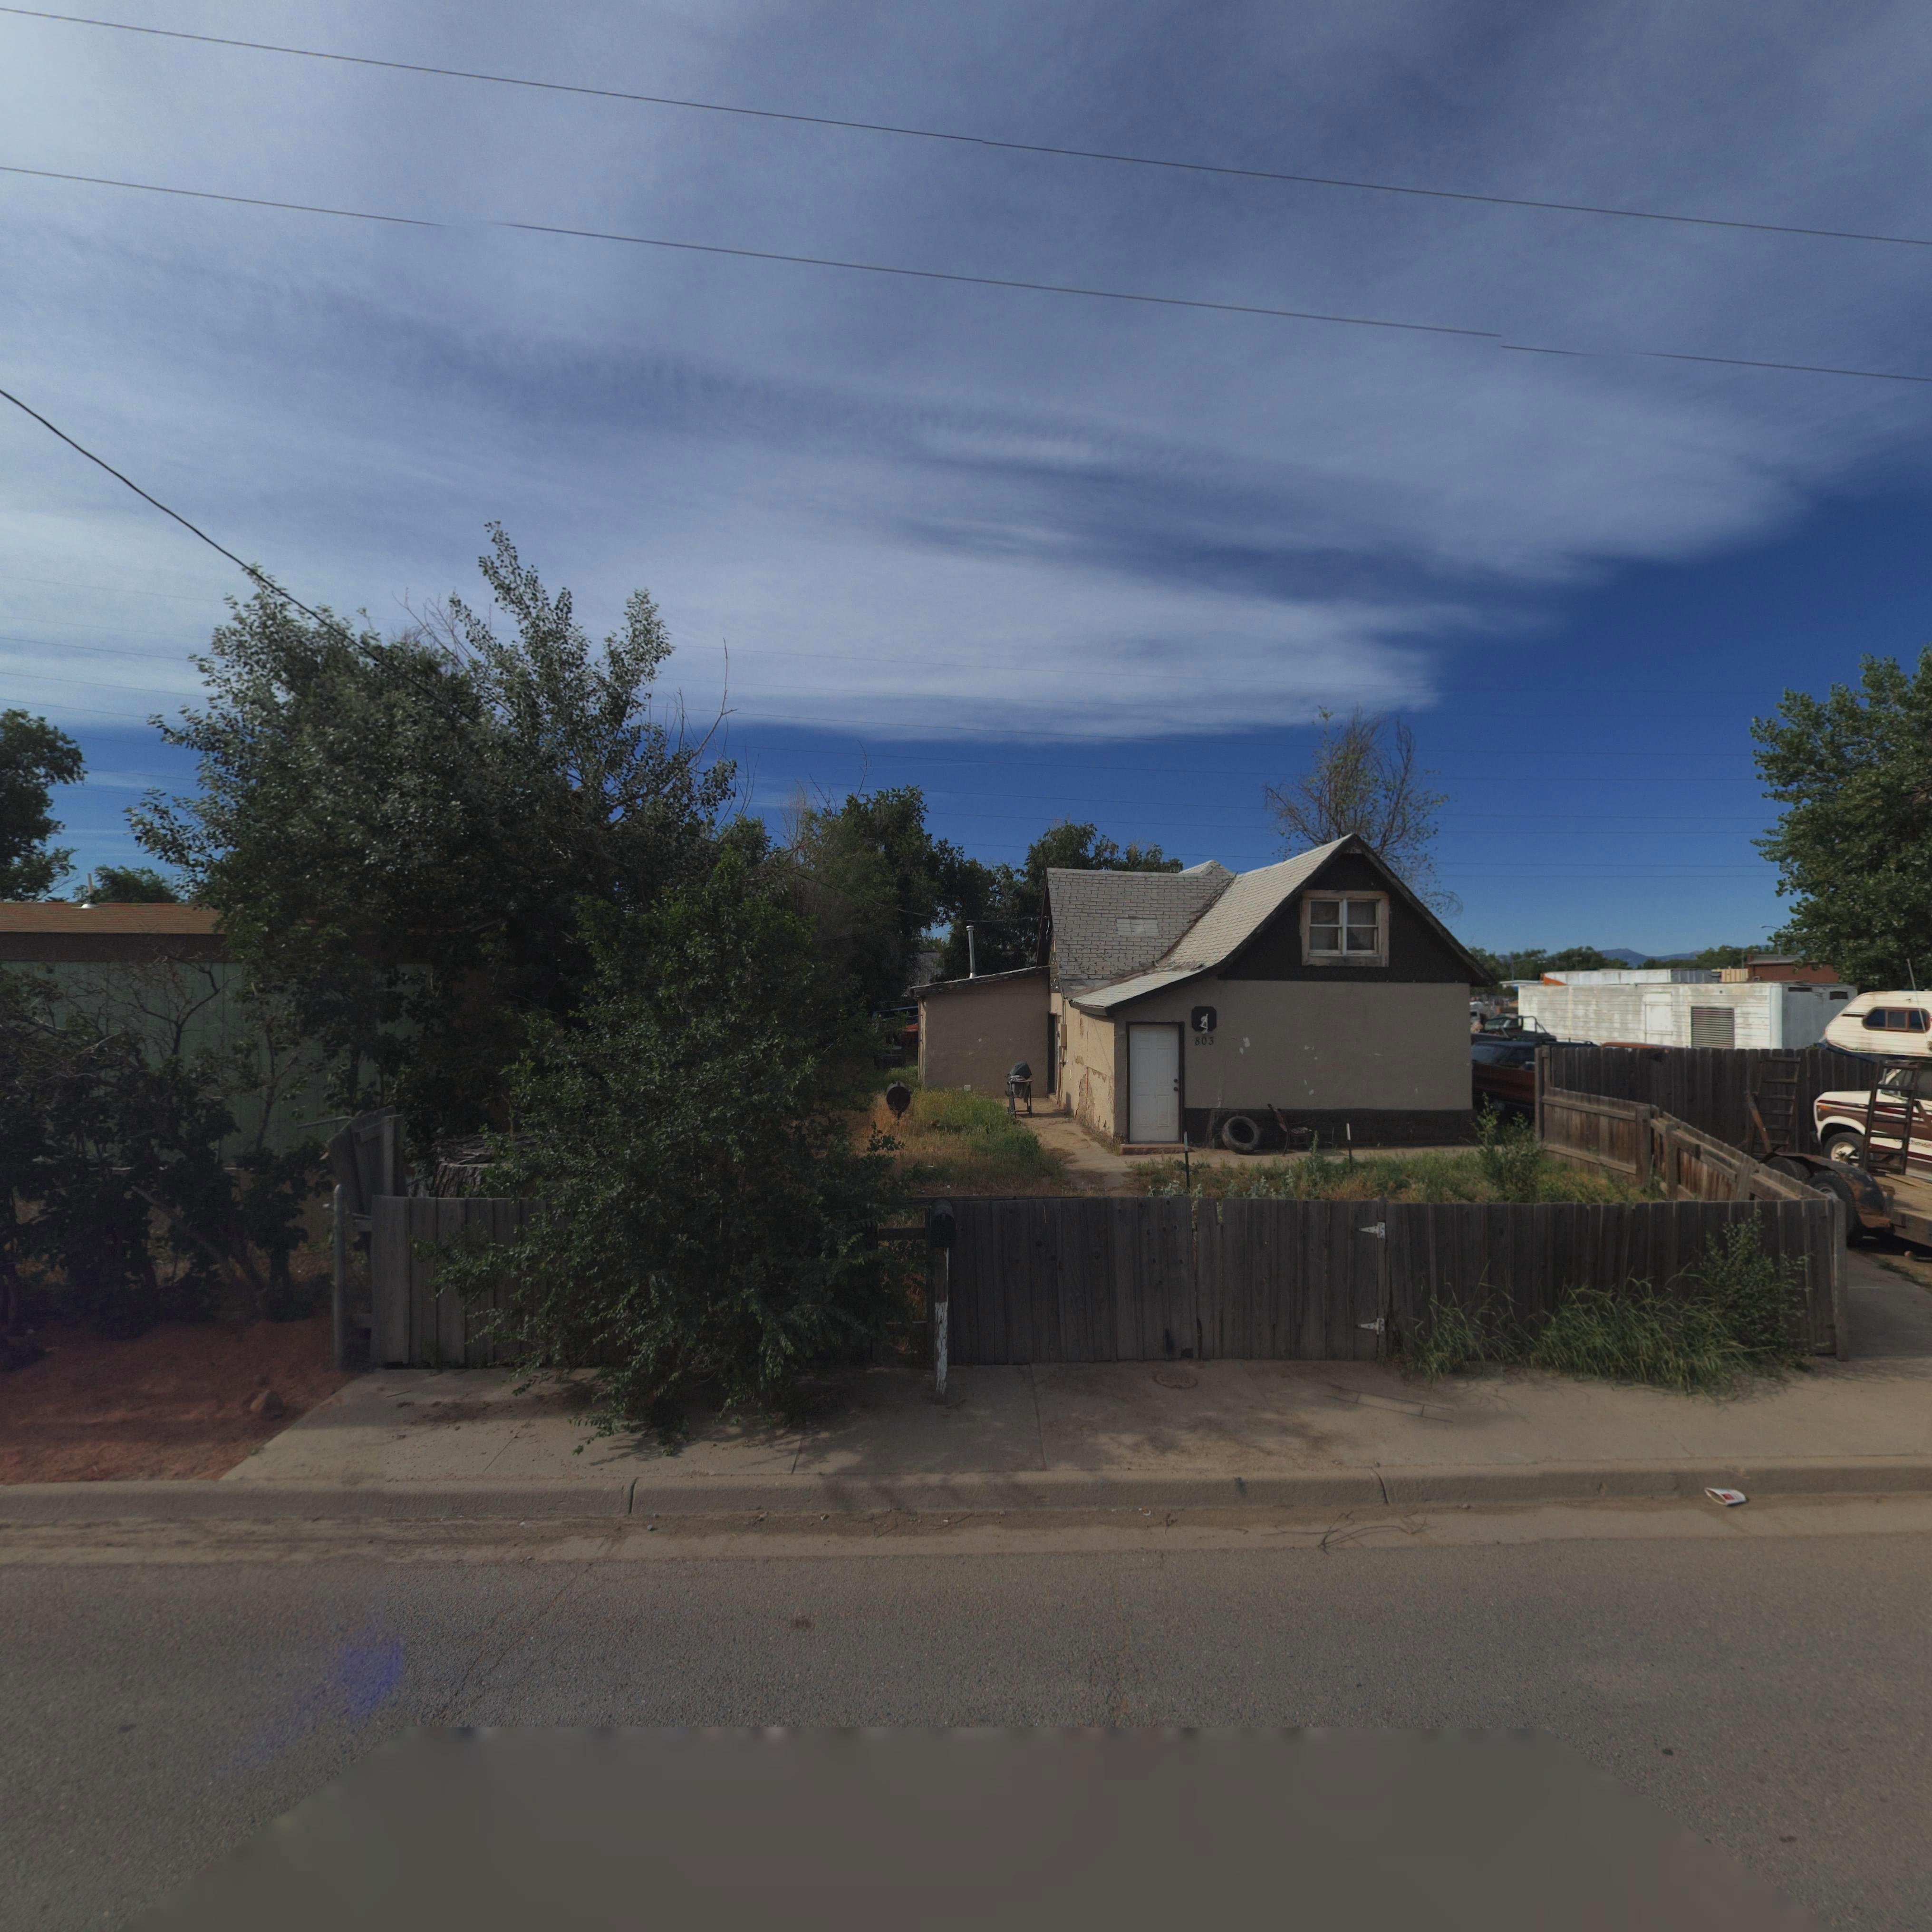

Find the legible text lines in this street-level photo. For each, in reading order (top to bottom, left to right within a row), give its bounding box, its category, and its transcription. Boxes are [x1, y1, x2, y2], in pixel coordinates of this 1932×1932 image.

[1194, 1036, 1214, 1045] StreetNumber: 803